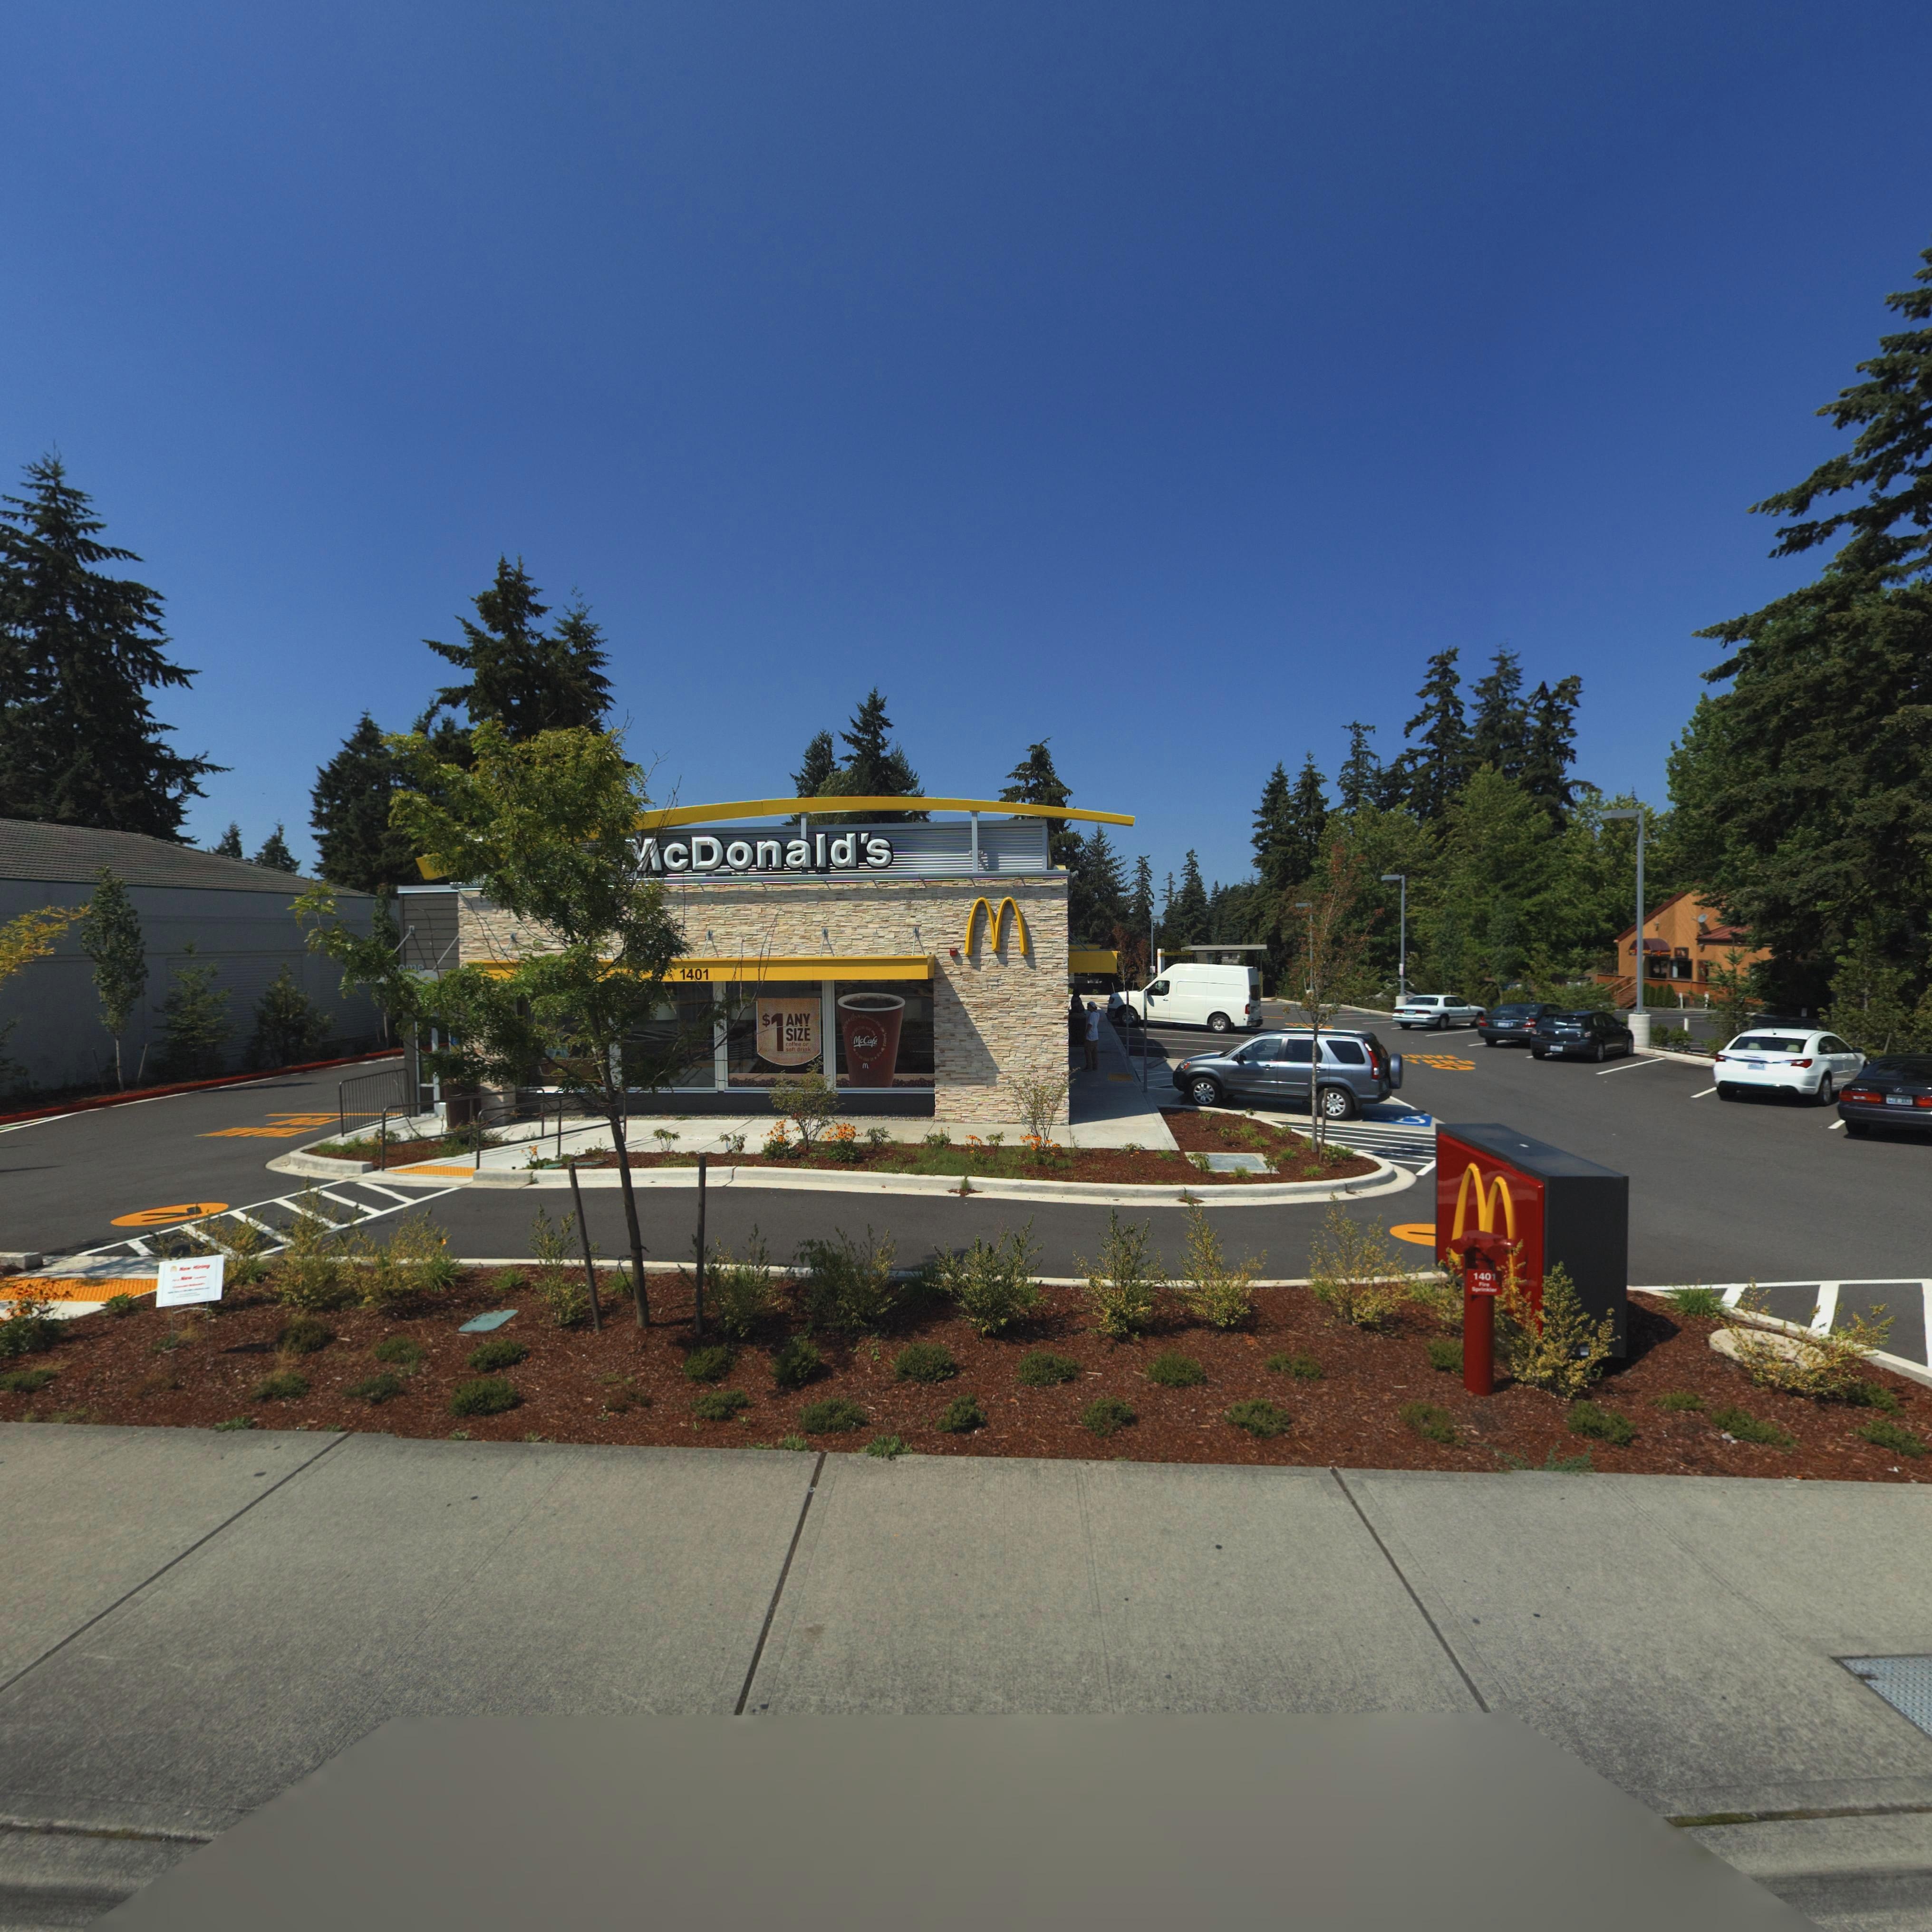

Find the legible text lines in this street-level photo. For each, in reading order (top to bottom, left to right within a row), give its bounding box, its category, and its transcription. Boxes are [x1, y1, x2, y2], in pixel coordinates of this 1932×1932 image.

[679, 966, 710, 983] StreetNumber: 1401
[1473, 1272, 1496, 1281] StreetNumber: 1401